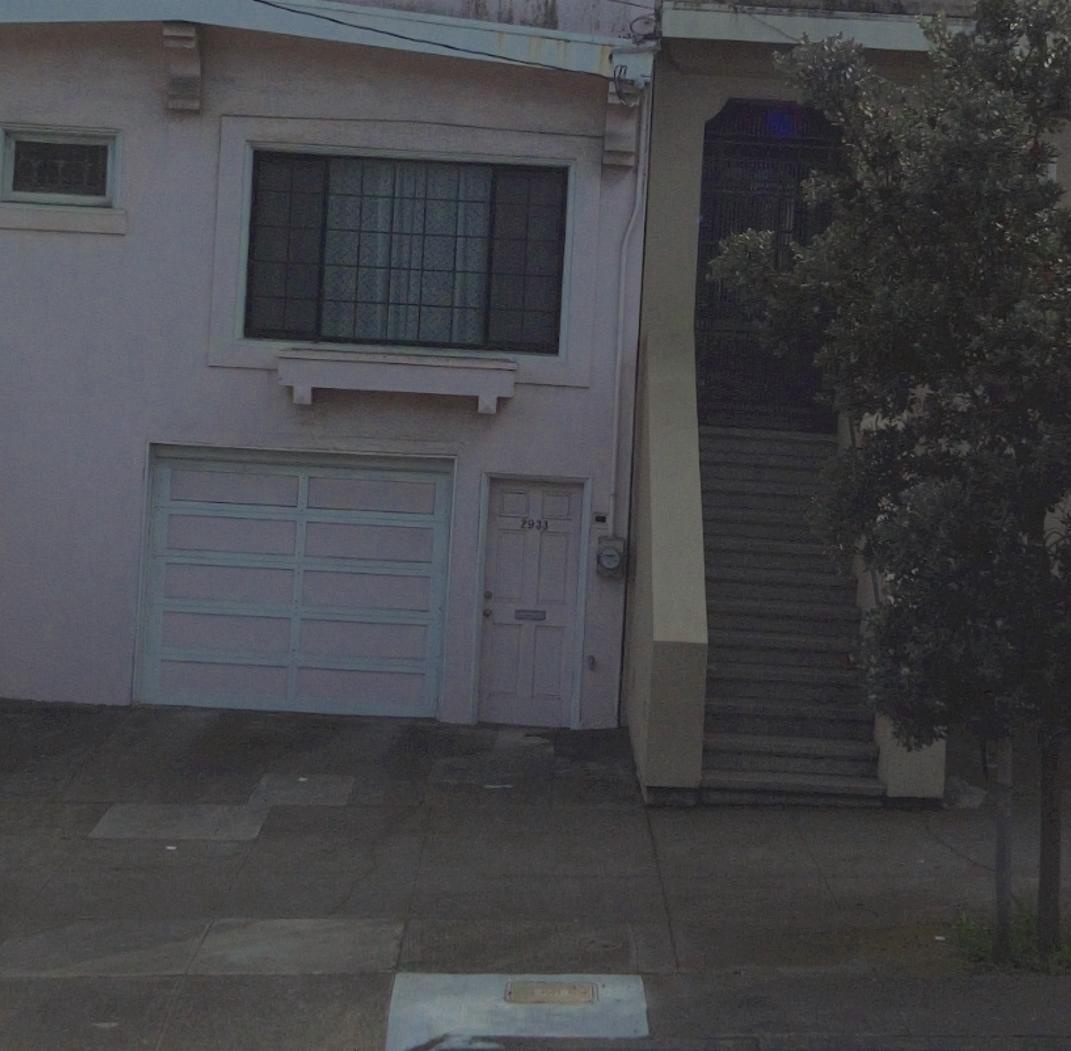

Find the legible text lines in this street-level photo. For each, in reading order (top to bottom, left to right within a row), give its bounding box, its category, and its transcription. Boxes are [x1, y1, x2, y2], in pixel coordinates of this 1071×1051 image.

[520, 517, 550, 532] StreetNumber: 2933